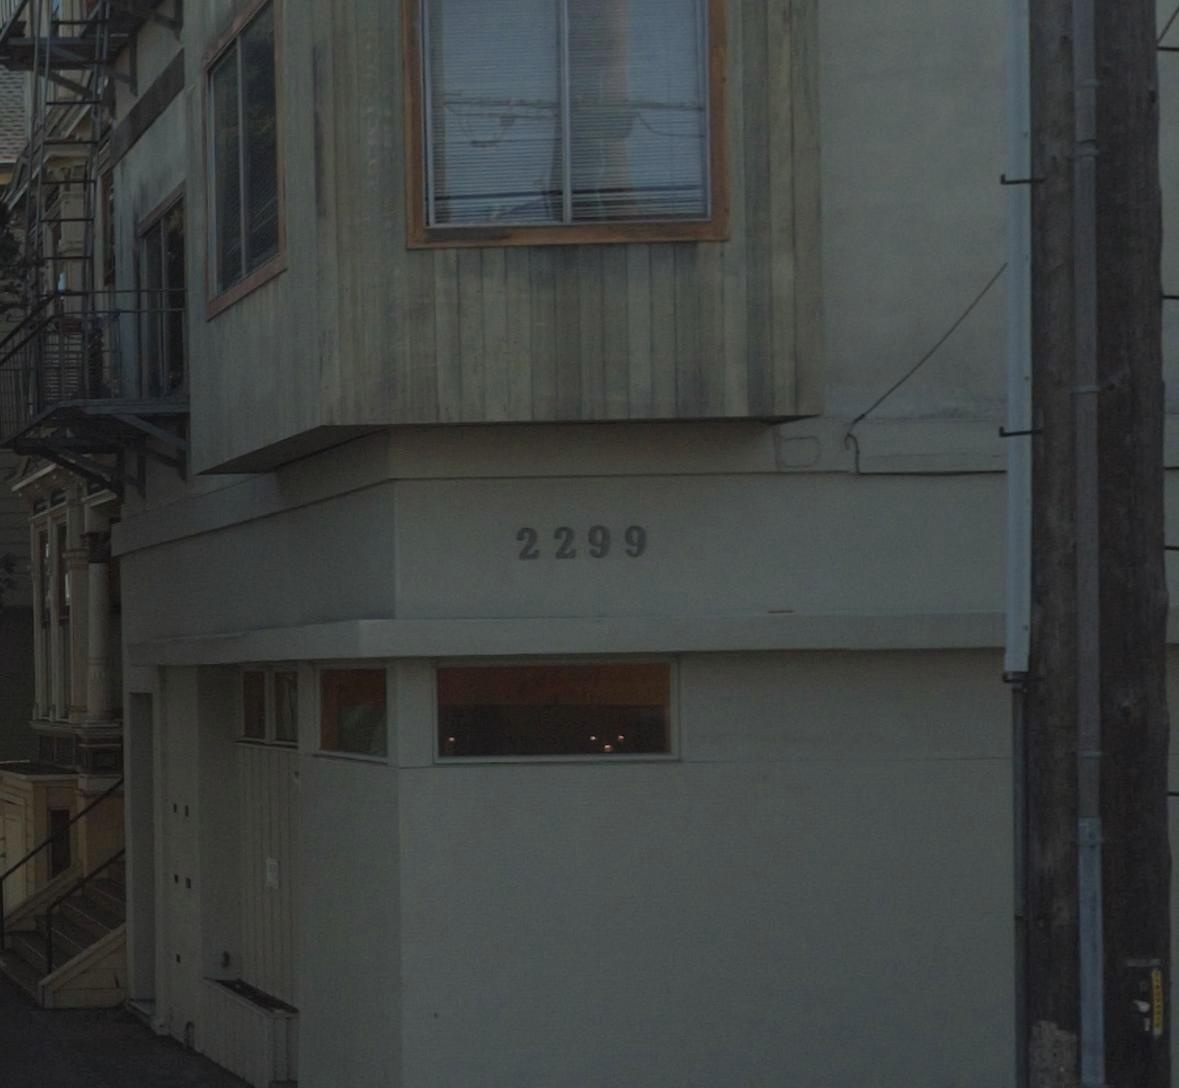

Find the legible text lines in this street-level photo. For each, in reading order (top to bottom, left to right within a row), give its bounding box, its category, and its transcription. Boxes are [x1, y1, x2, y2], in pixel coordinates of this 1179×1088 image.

[512, 522, 650, 563] StreetNumber: 2299